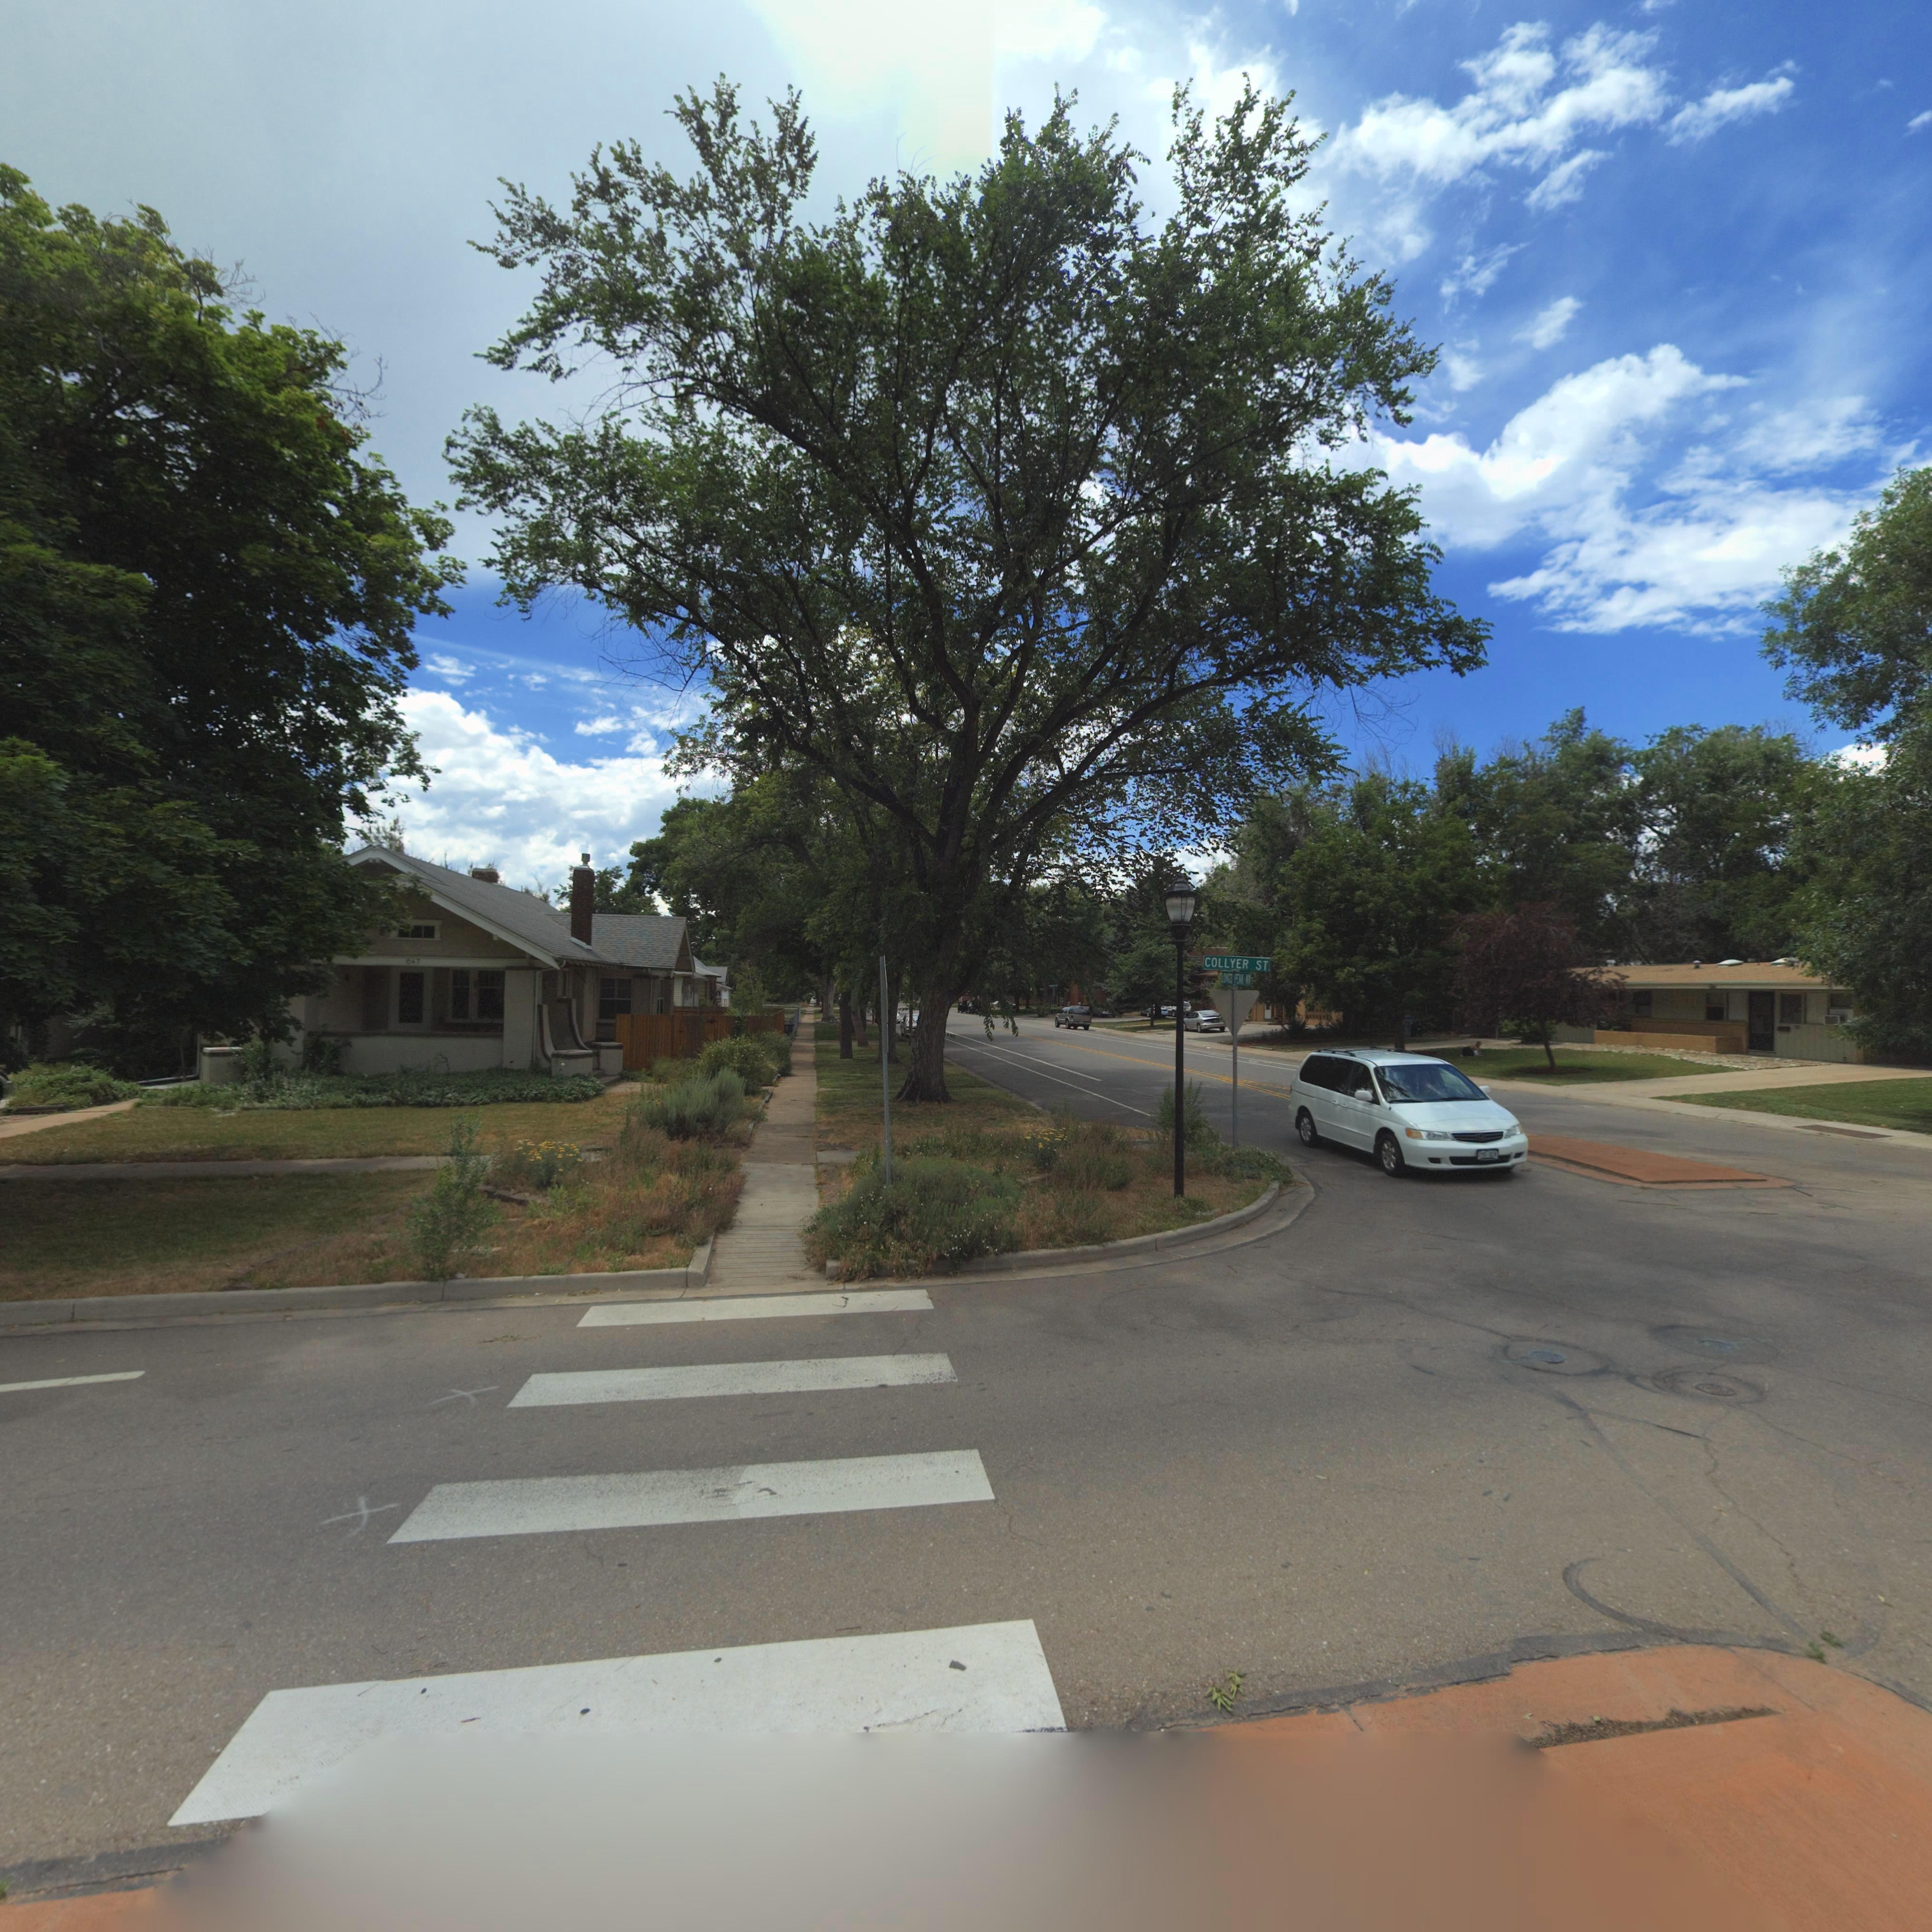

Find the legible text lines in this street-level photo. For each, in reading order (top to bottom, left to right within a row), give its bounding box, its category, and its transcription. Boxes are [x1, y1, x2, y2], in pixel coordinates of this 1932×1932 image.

[405, 957, 421, 965] StreetNumber: 647
[1204, 956, 1269, 970] StreetName: COLLYER ST
[1221, 973, 1251, 985] StreetName: LONGS PEAK AV